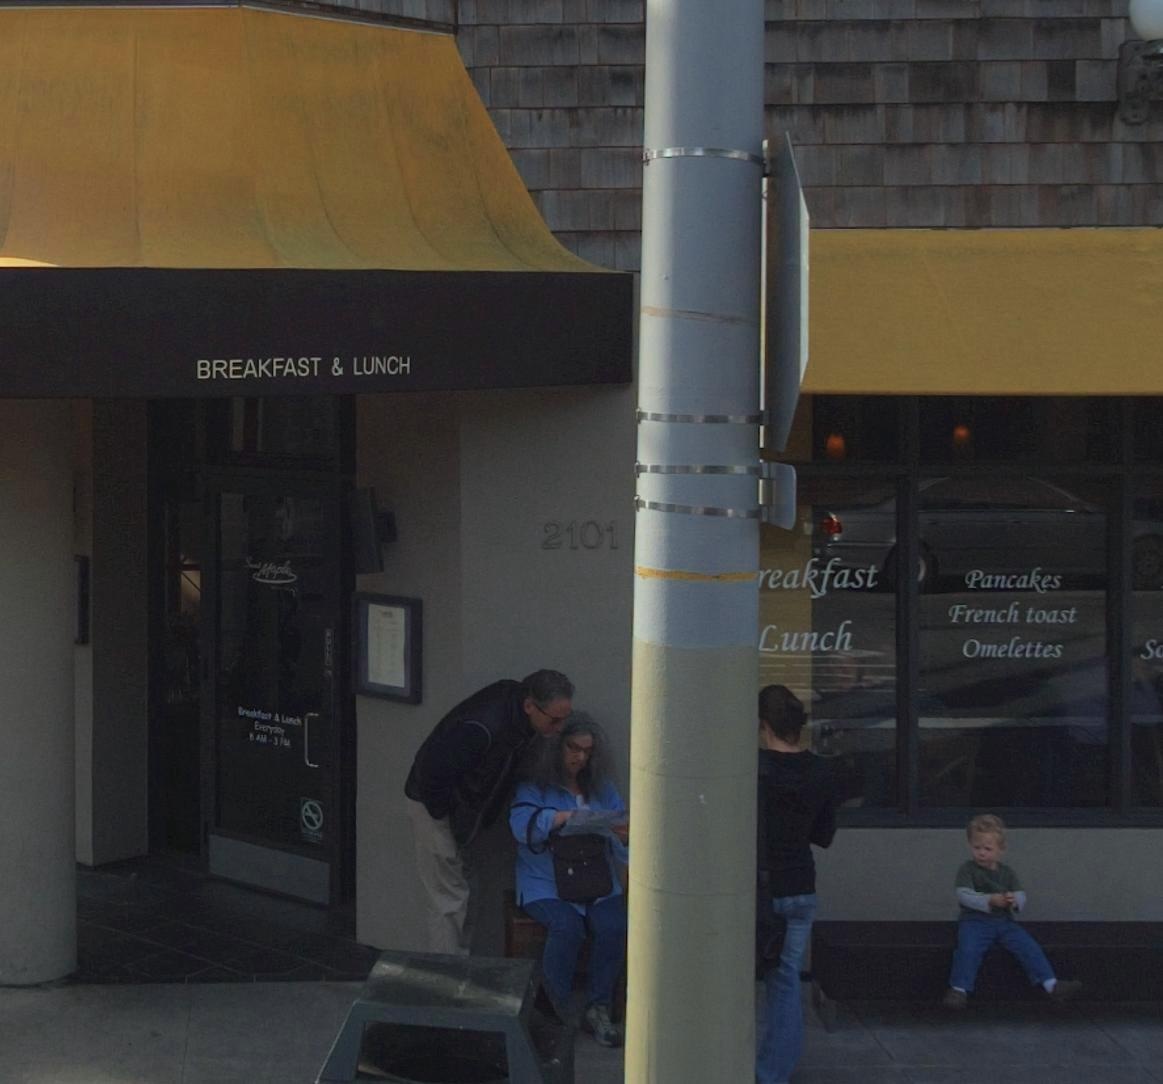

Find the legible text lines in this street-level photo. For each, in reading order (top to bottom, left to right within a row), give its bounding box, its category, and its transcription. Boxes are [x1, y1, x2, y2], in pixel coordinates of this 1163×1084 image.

[194, 353, 413, 383] None: BREAKFAST & LUNCH
[537, 516, 623, 552] StreetNumber: 2101
[754, 554, 882, 602] None: reakfast
[962, 565, 1066, 597] None: Pancakes
[945, 599, 1081, 626] None: French toast
[754, 617, 857, 655] None: Lunch
[960, 633, 1068, 662] None: Omelettes
[1137, 635, 1160, 662] None: S